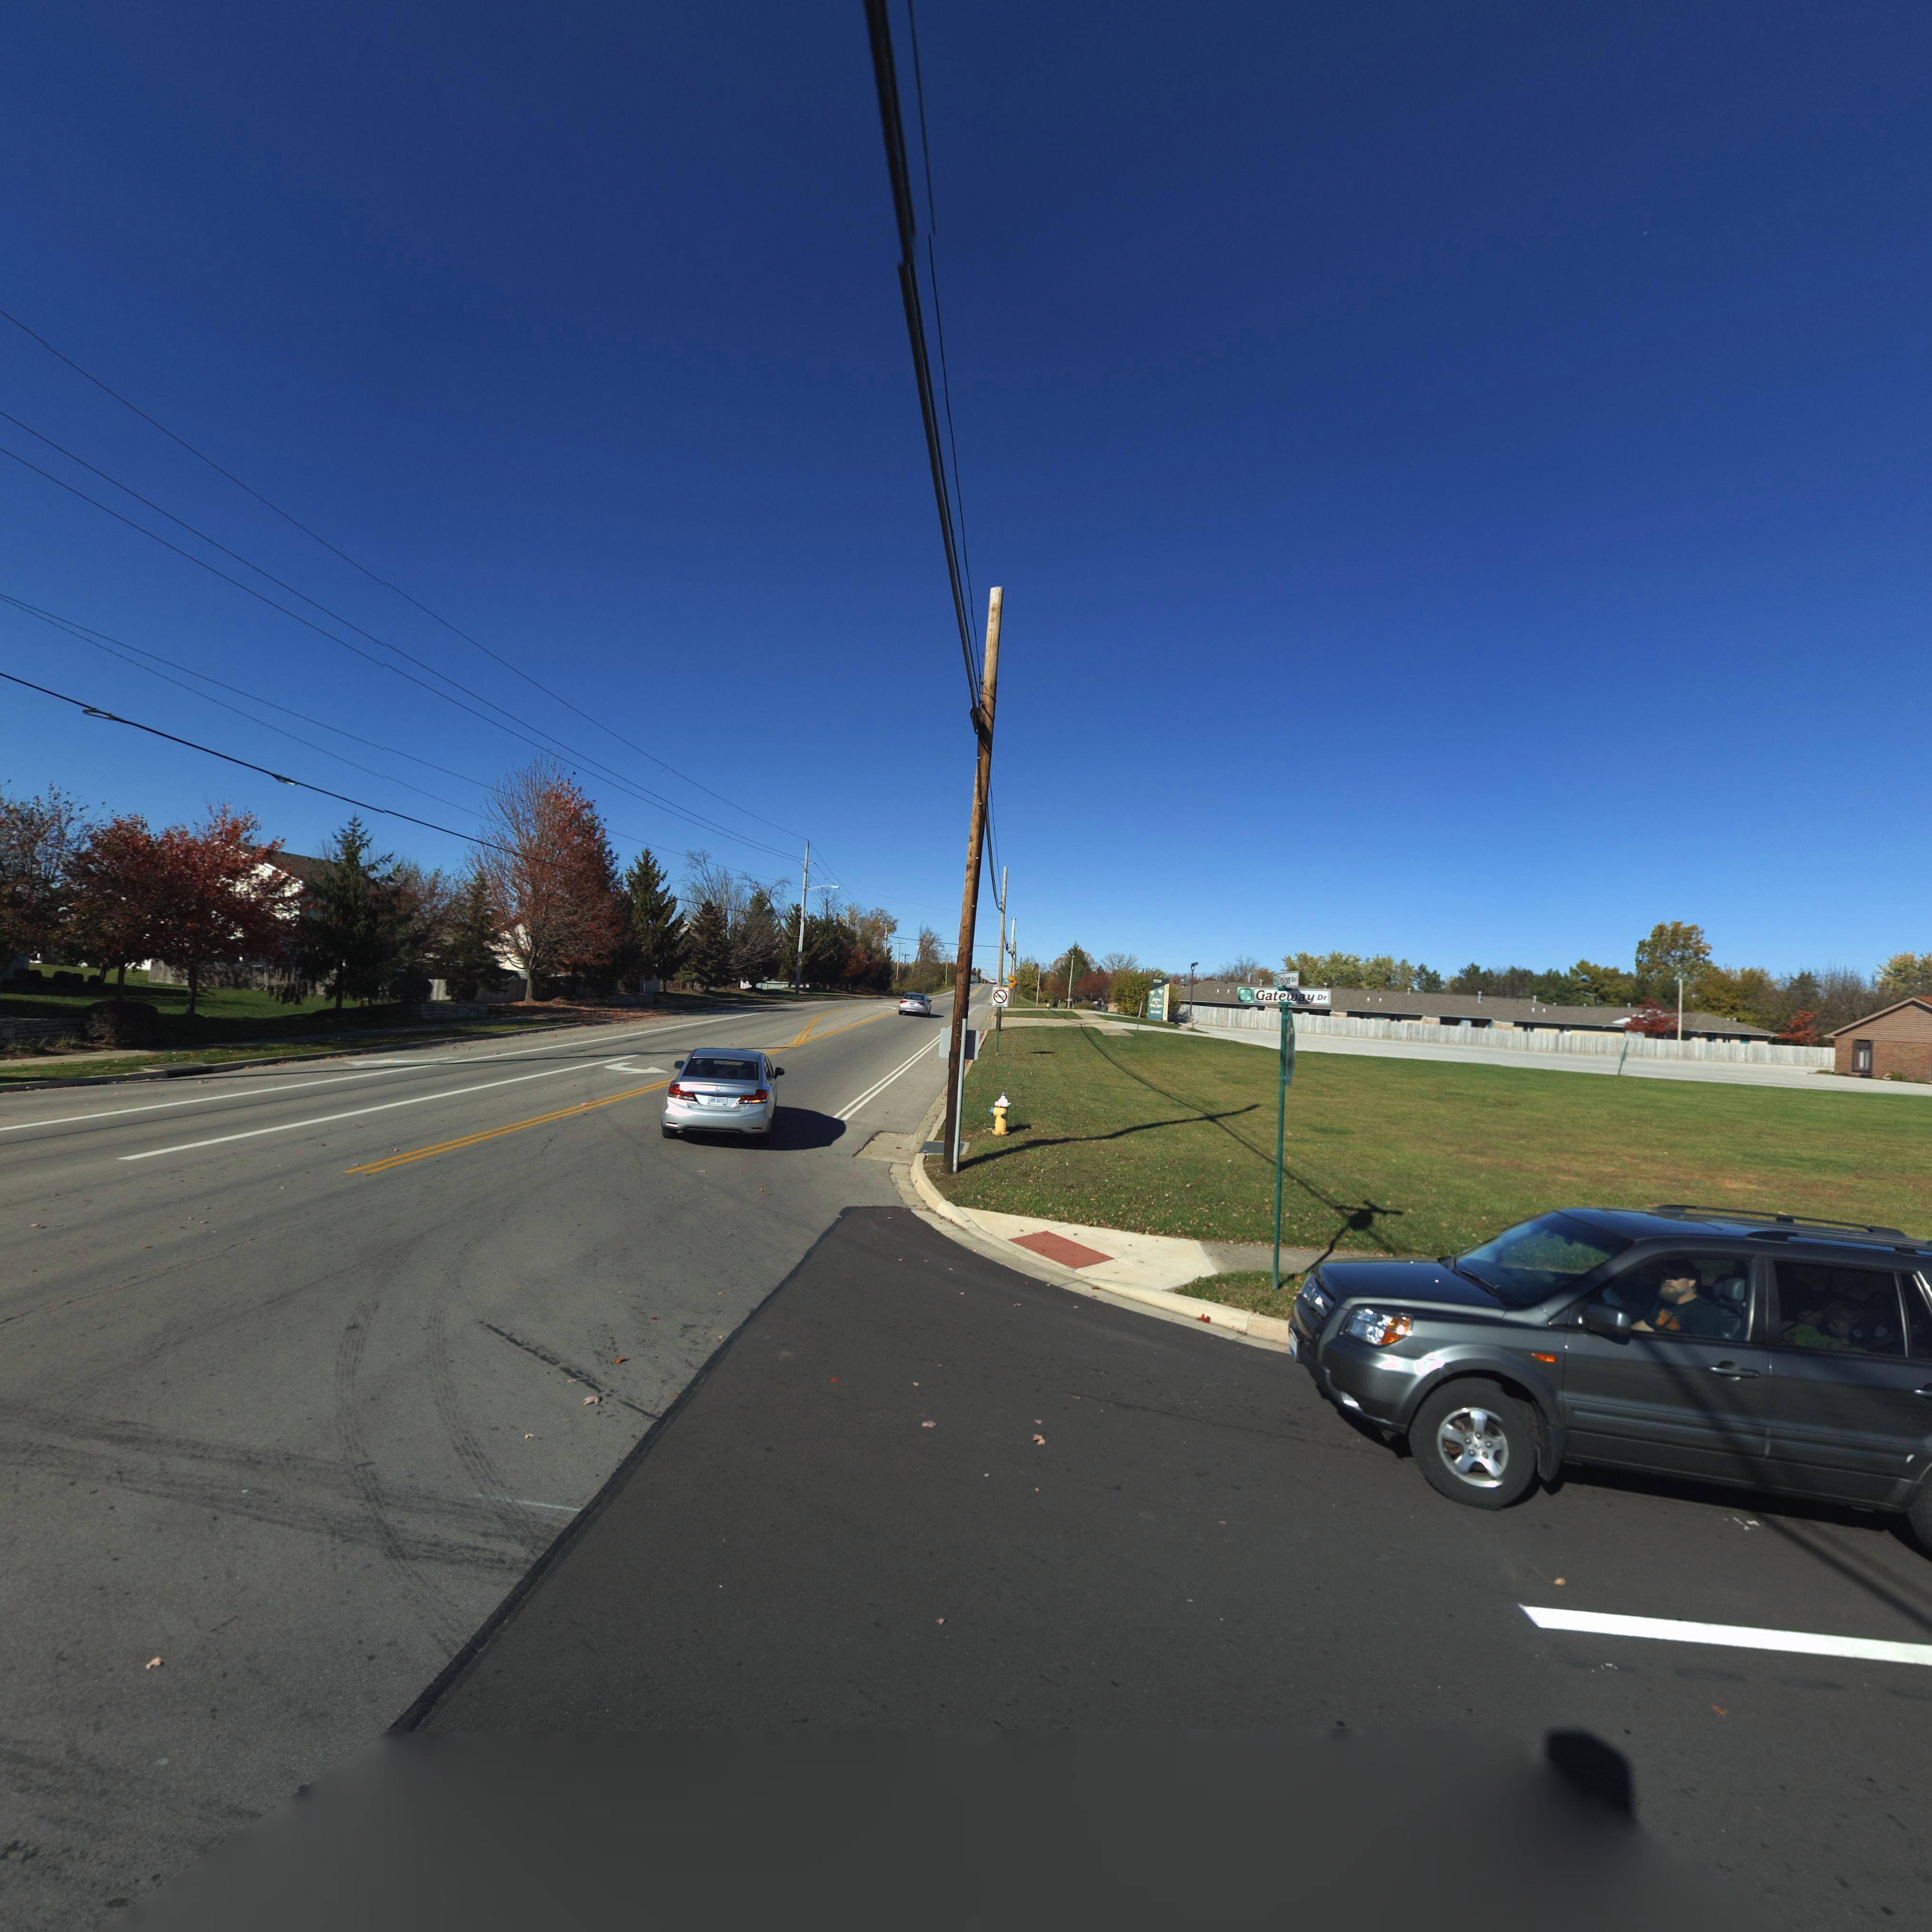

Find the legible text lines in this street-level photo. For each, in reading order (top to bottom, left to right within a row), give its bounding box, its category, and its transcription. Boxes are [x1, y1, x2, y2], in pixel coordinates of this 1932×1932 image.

[1152, 978, 1162, 984] StreetNumber: 1230
[1276, 974, 1291, 986] StreetName: Union
[1255, 989, 1328, 1004] StreetName: Gateway Dr